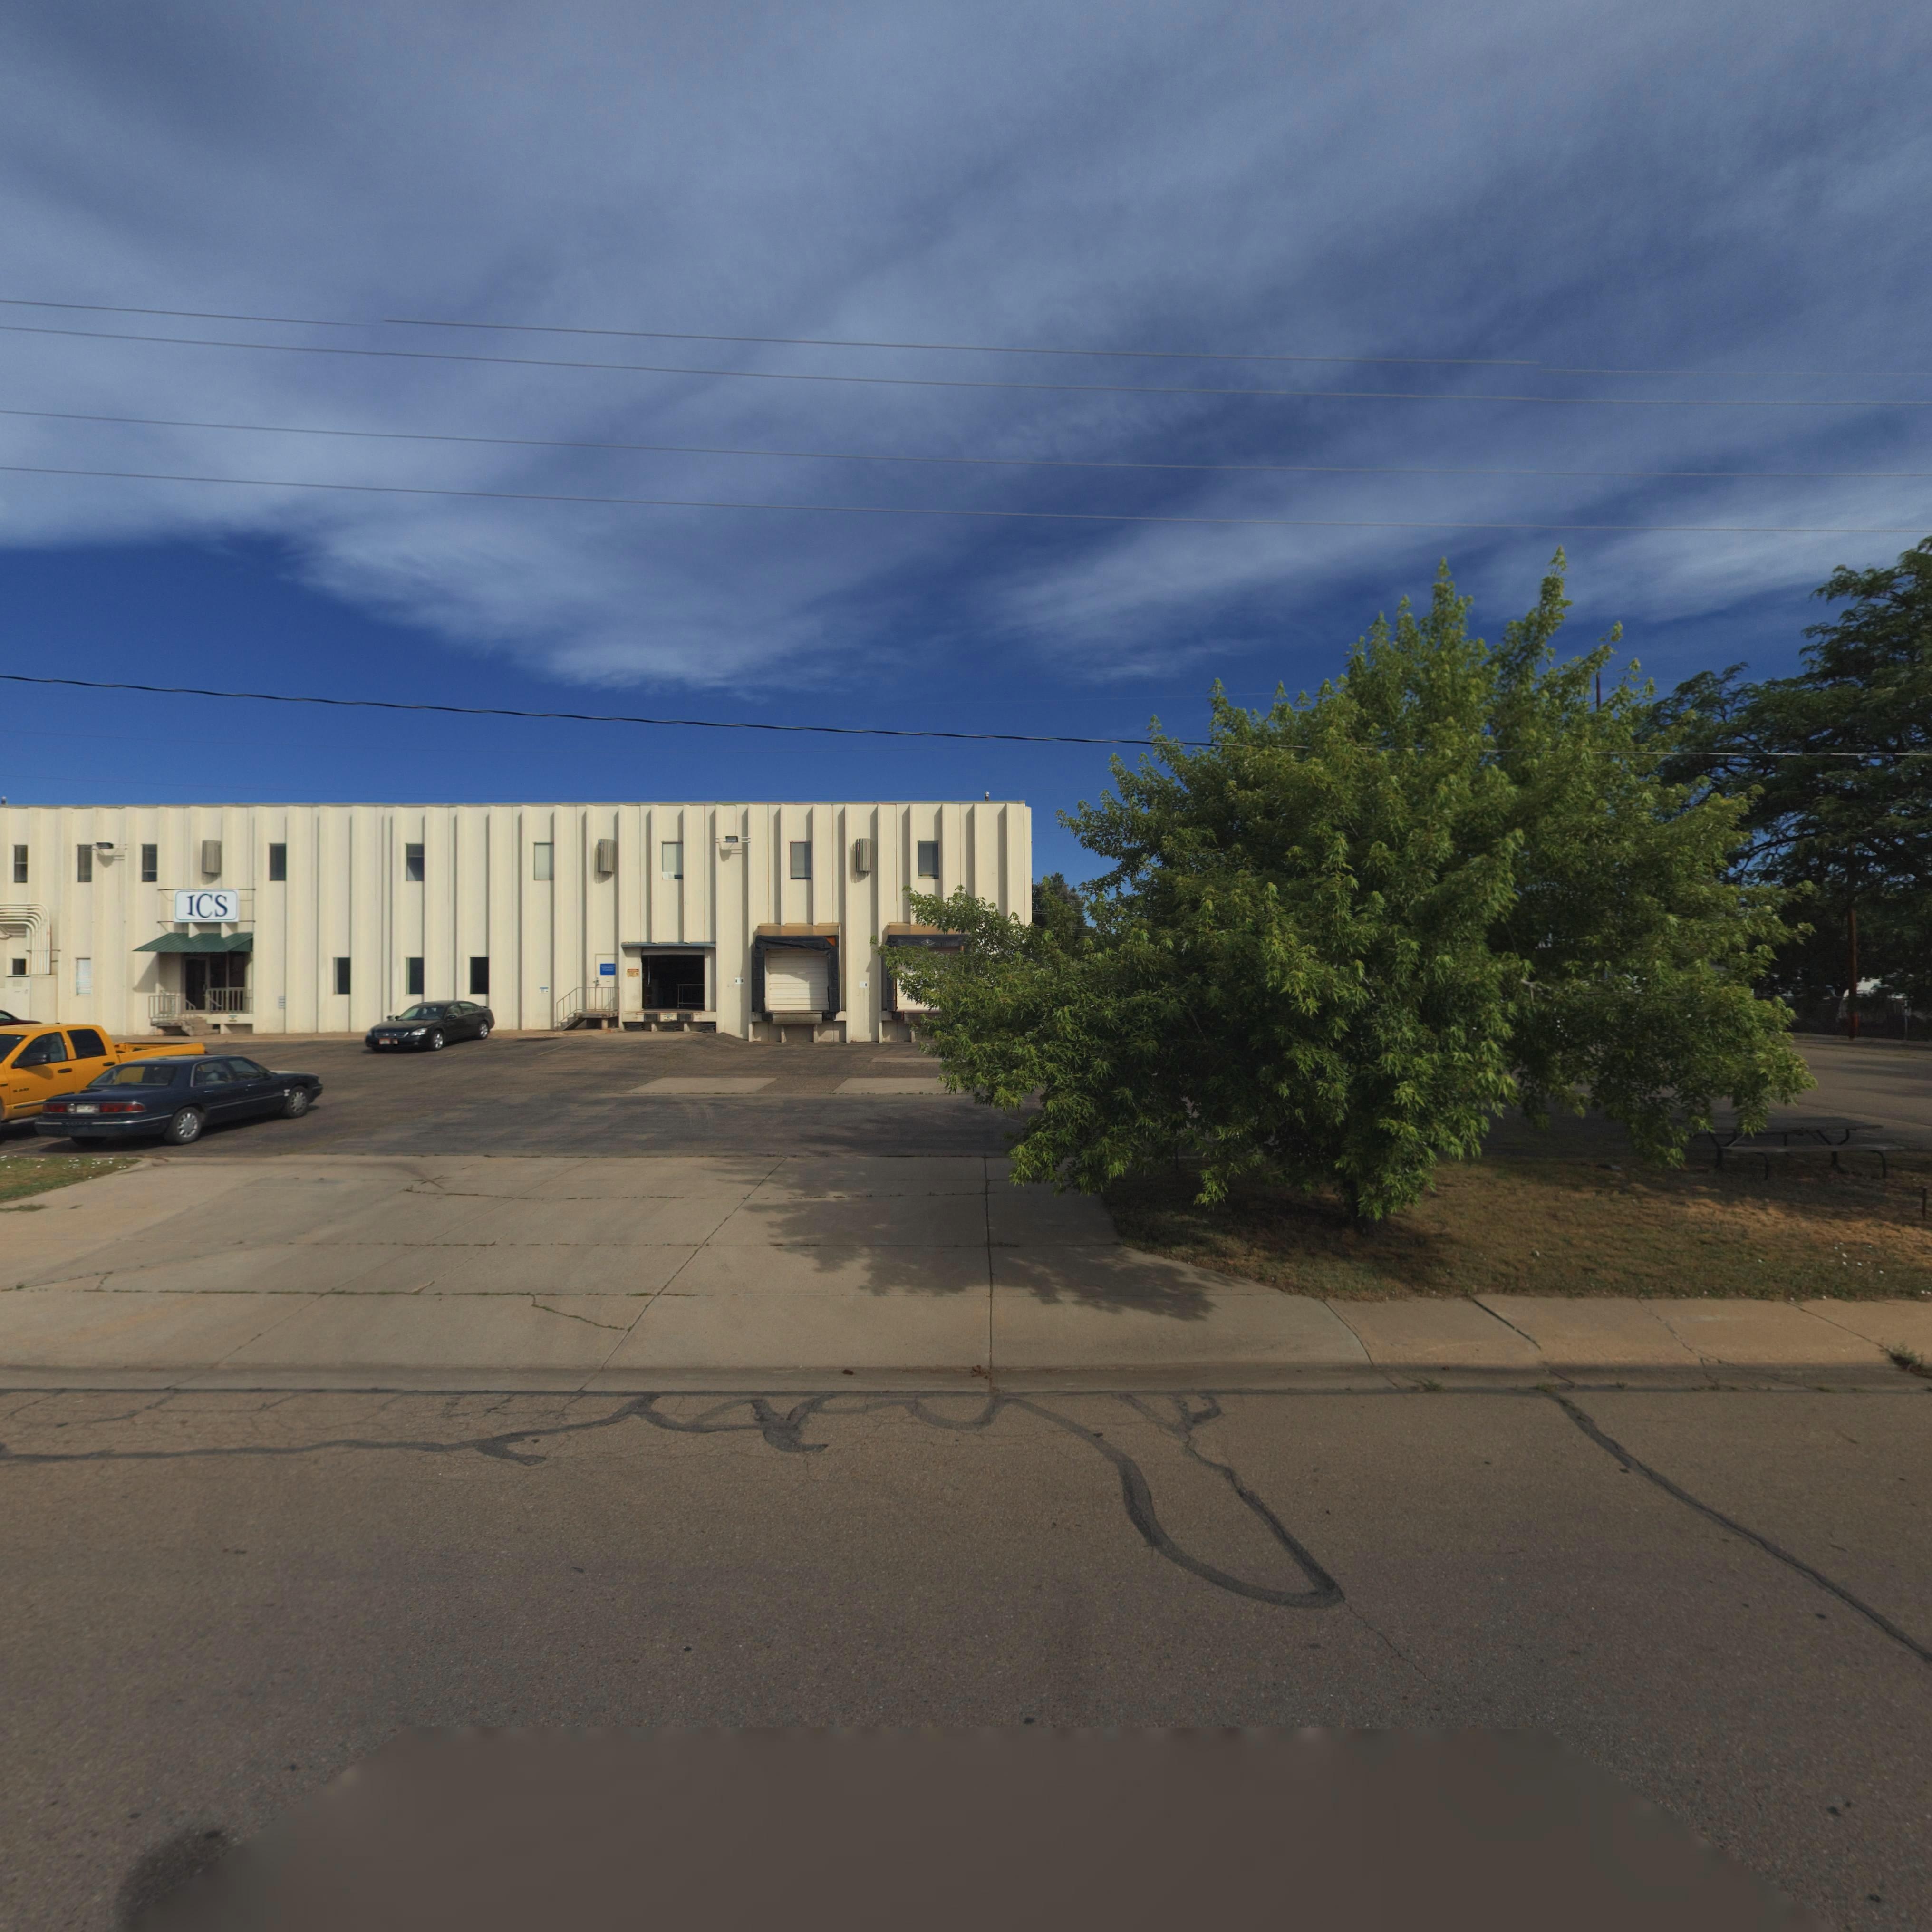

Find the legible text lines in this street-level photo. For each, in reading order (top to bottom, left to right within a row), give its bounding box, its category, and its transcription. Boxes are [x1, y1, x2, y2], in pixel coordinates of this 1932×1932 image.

[187, 893, 228, 918] BusinessName: ICS